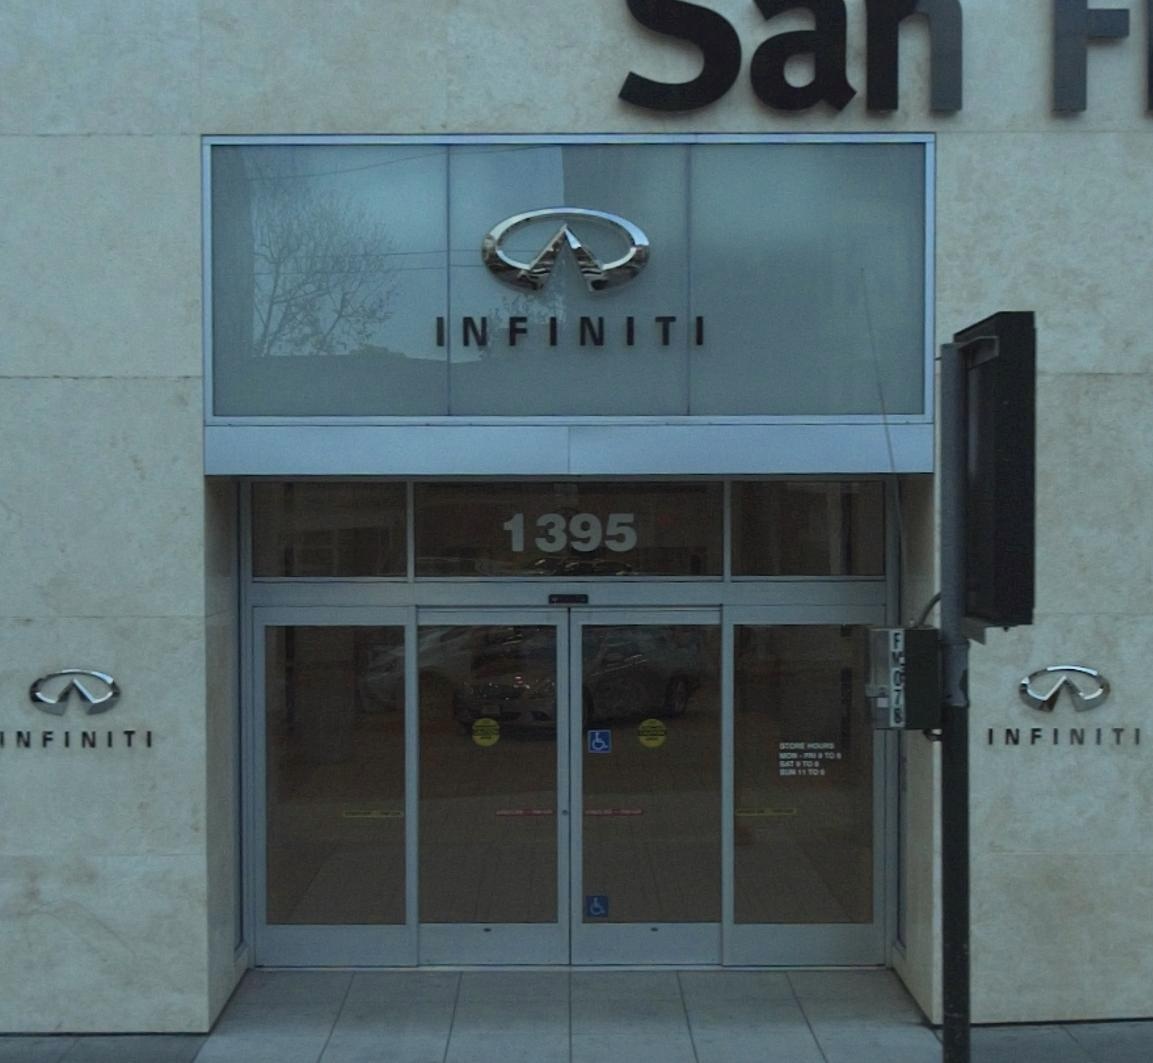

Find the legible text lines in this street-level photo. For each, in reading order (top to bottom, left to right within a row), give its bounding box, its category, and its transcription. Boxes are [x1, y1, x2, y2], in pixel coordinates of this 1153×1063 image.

[430, 310, 709, 351] BusinessName: INFINITI
[499, 510, 640, 555] StreetNumber: 1395
[887, 627, 908, 727] None: FM078
[13, 727, 157, 752] BusinessName: NFINITI
[985, 724, 1144, 749] BusinessName: INFINITI